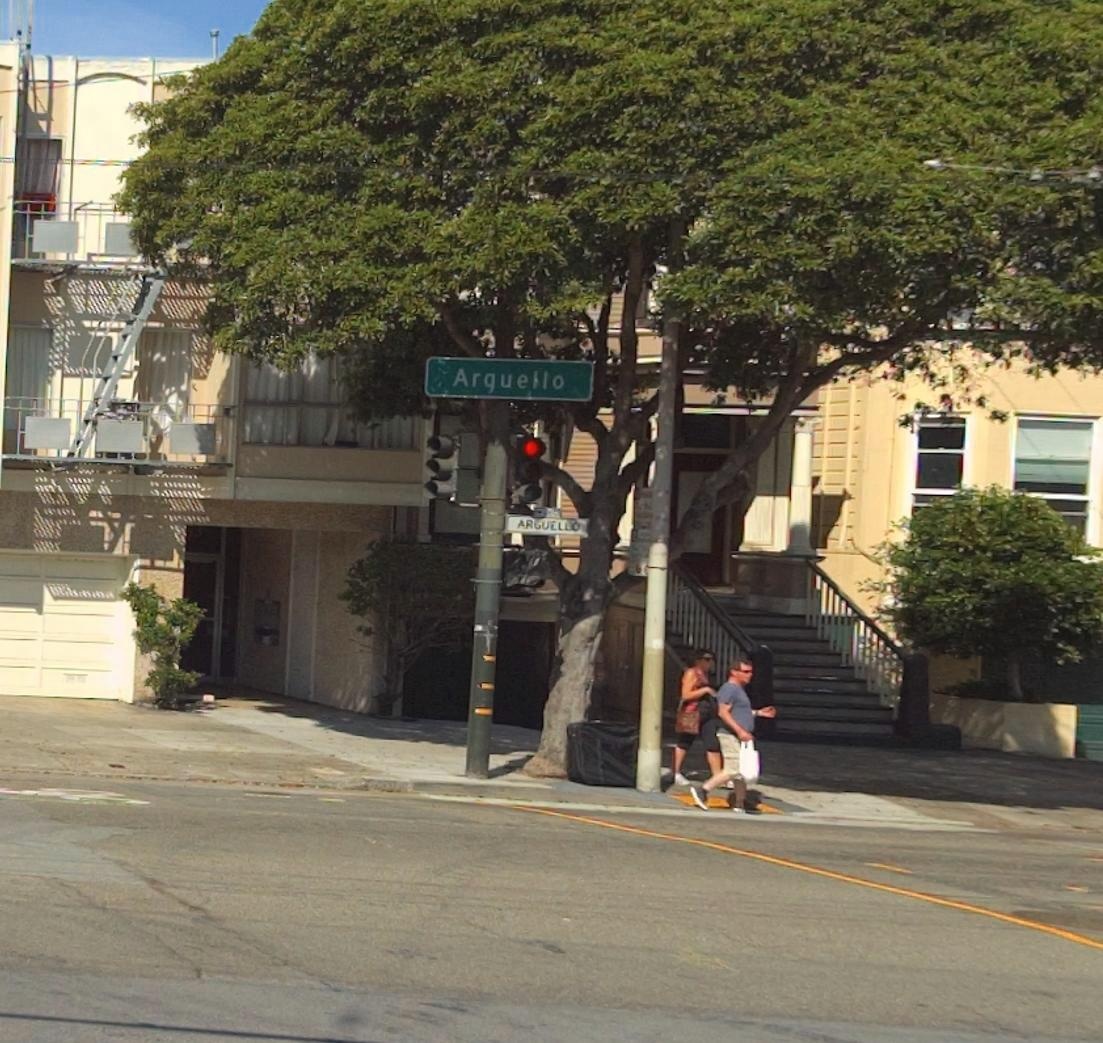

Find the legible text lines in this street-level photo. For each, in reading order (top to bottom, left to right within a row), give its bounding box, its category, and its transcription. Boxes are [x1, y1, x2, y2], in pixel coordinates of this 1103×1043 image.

[450, 367, 565, 393] StreetName: Arguello
[514, 515, 583, 533] StreetName: ARGUELLO